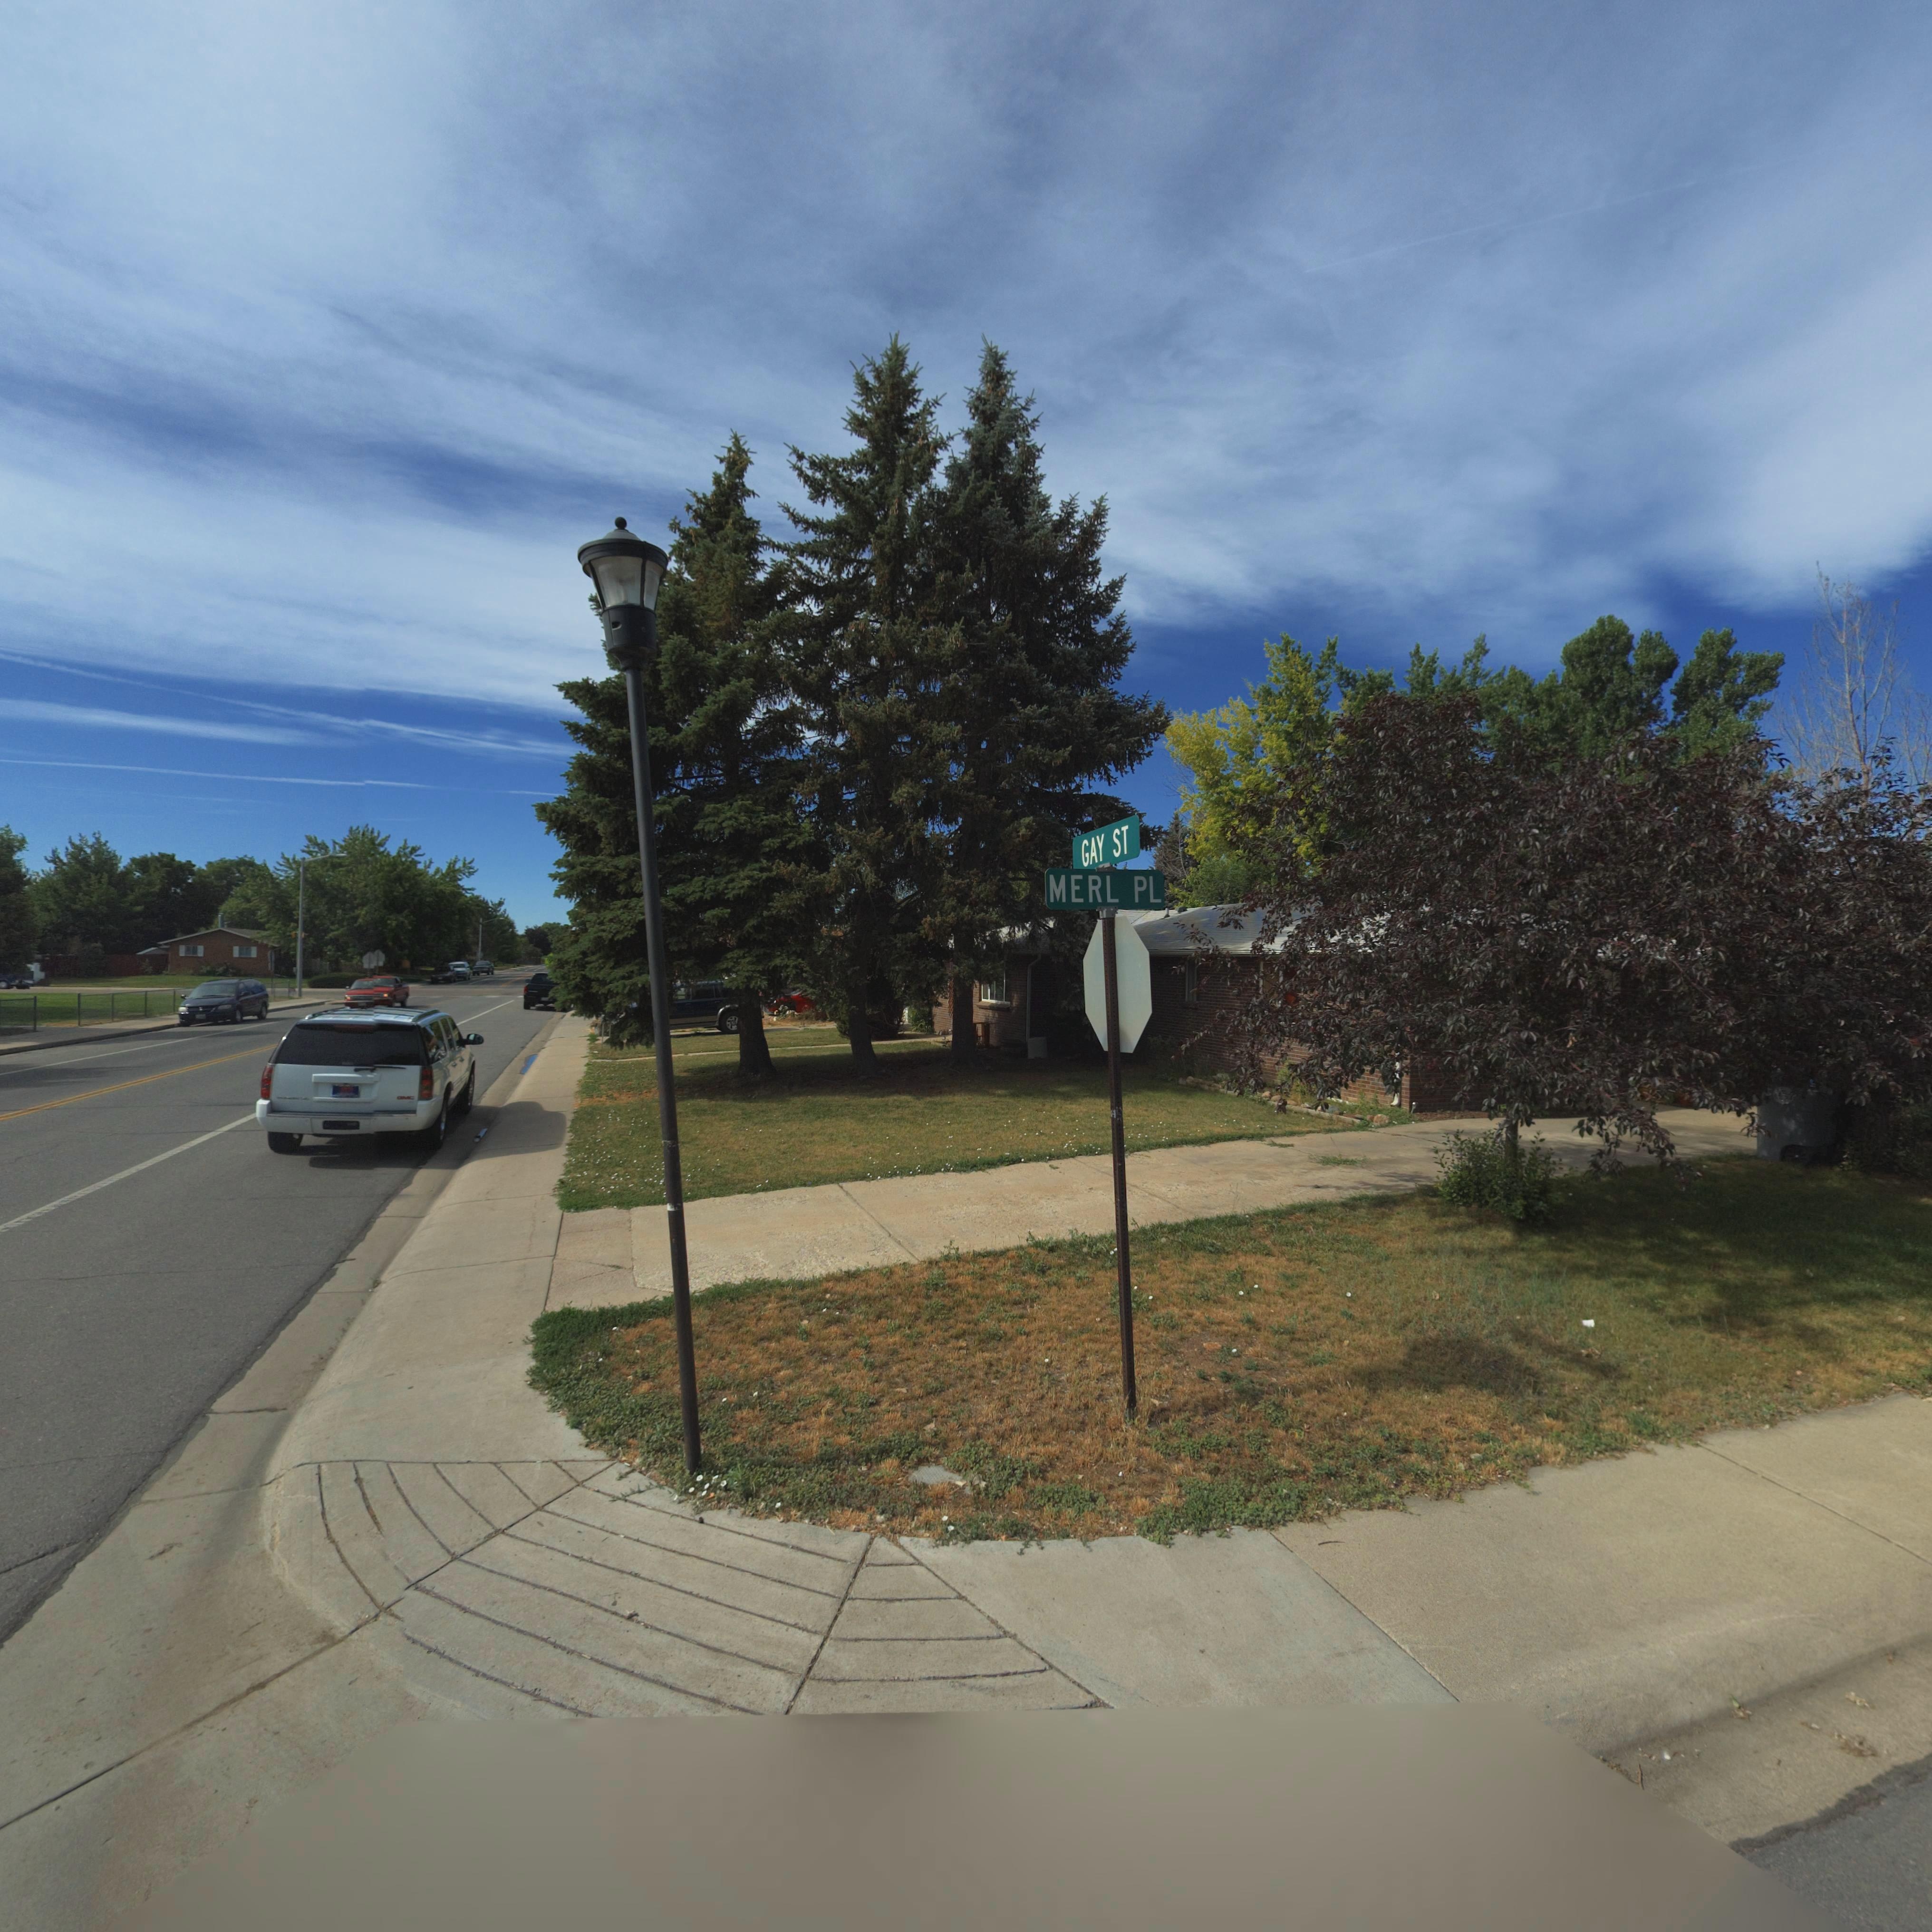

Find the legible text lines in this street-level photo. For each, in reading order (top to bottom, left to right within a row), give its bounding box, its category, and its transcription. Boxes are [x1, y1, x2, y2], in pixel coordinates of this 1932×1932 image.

[1081, 824, 1128, 867] StreetName: GAY ST
[1049, 875, 1160, 902] StreetName: MERL PL